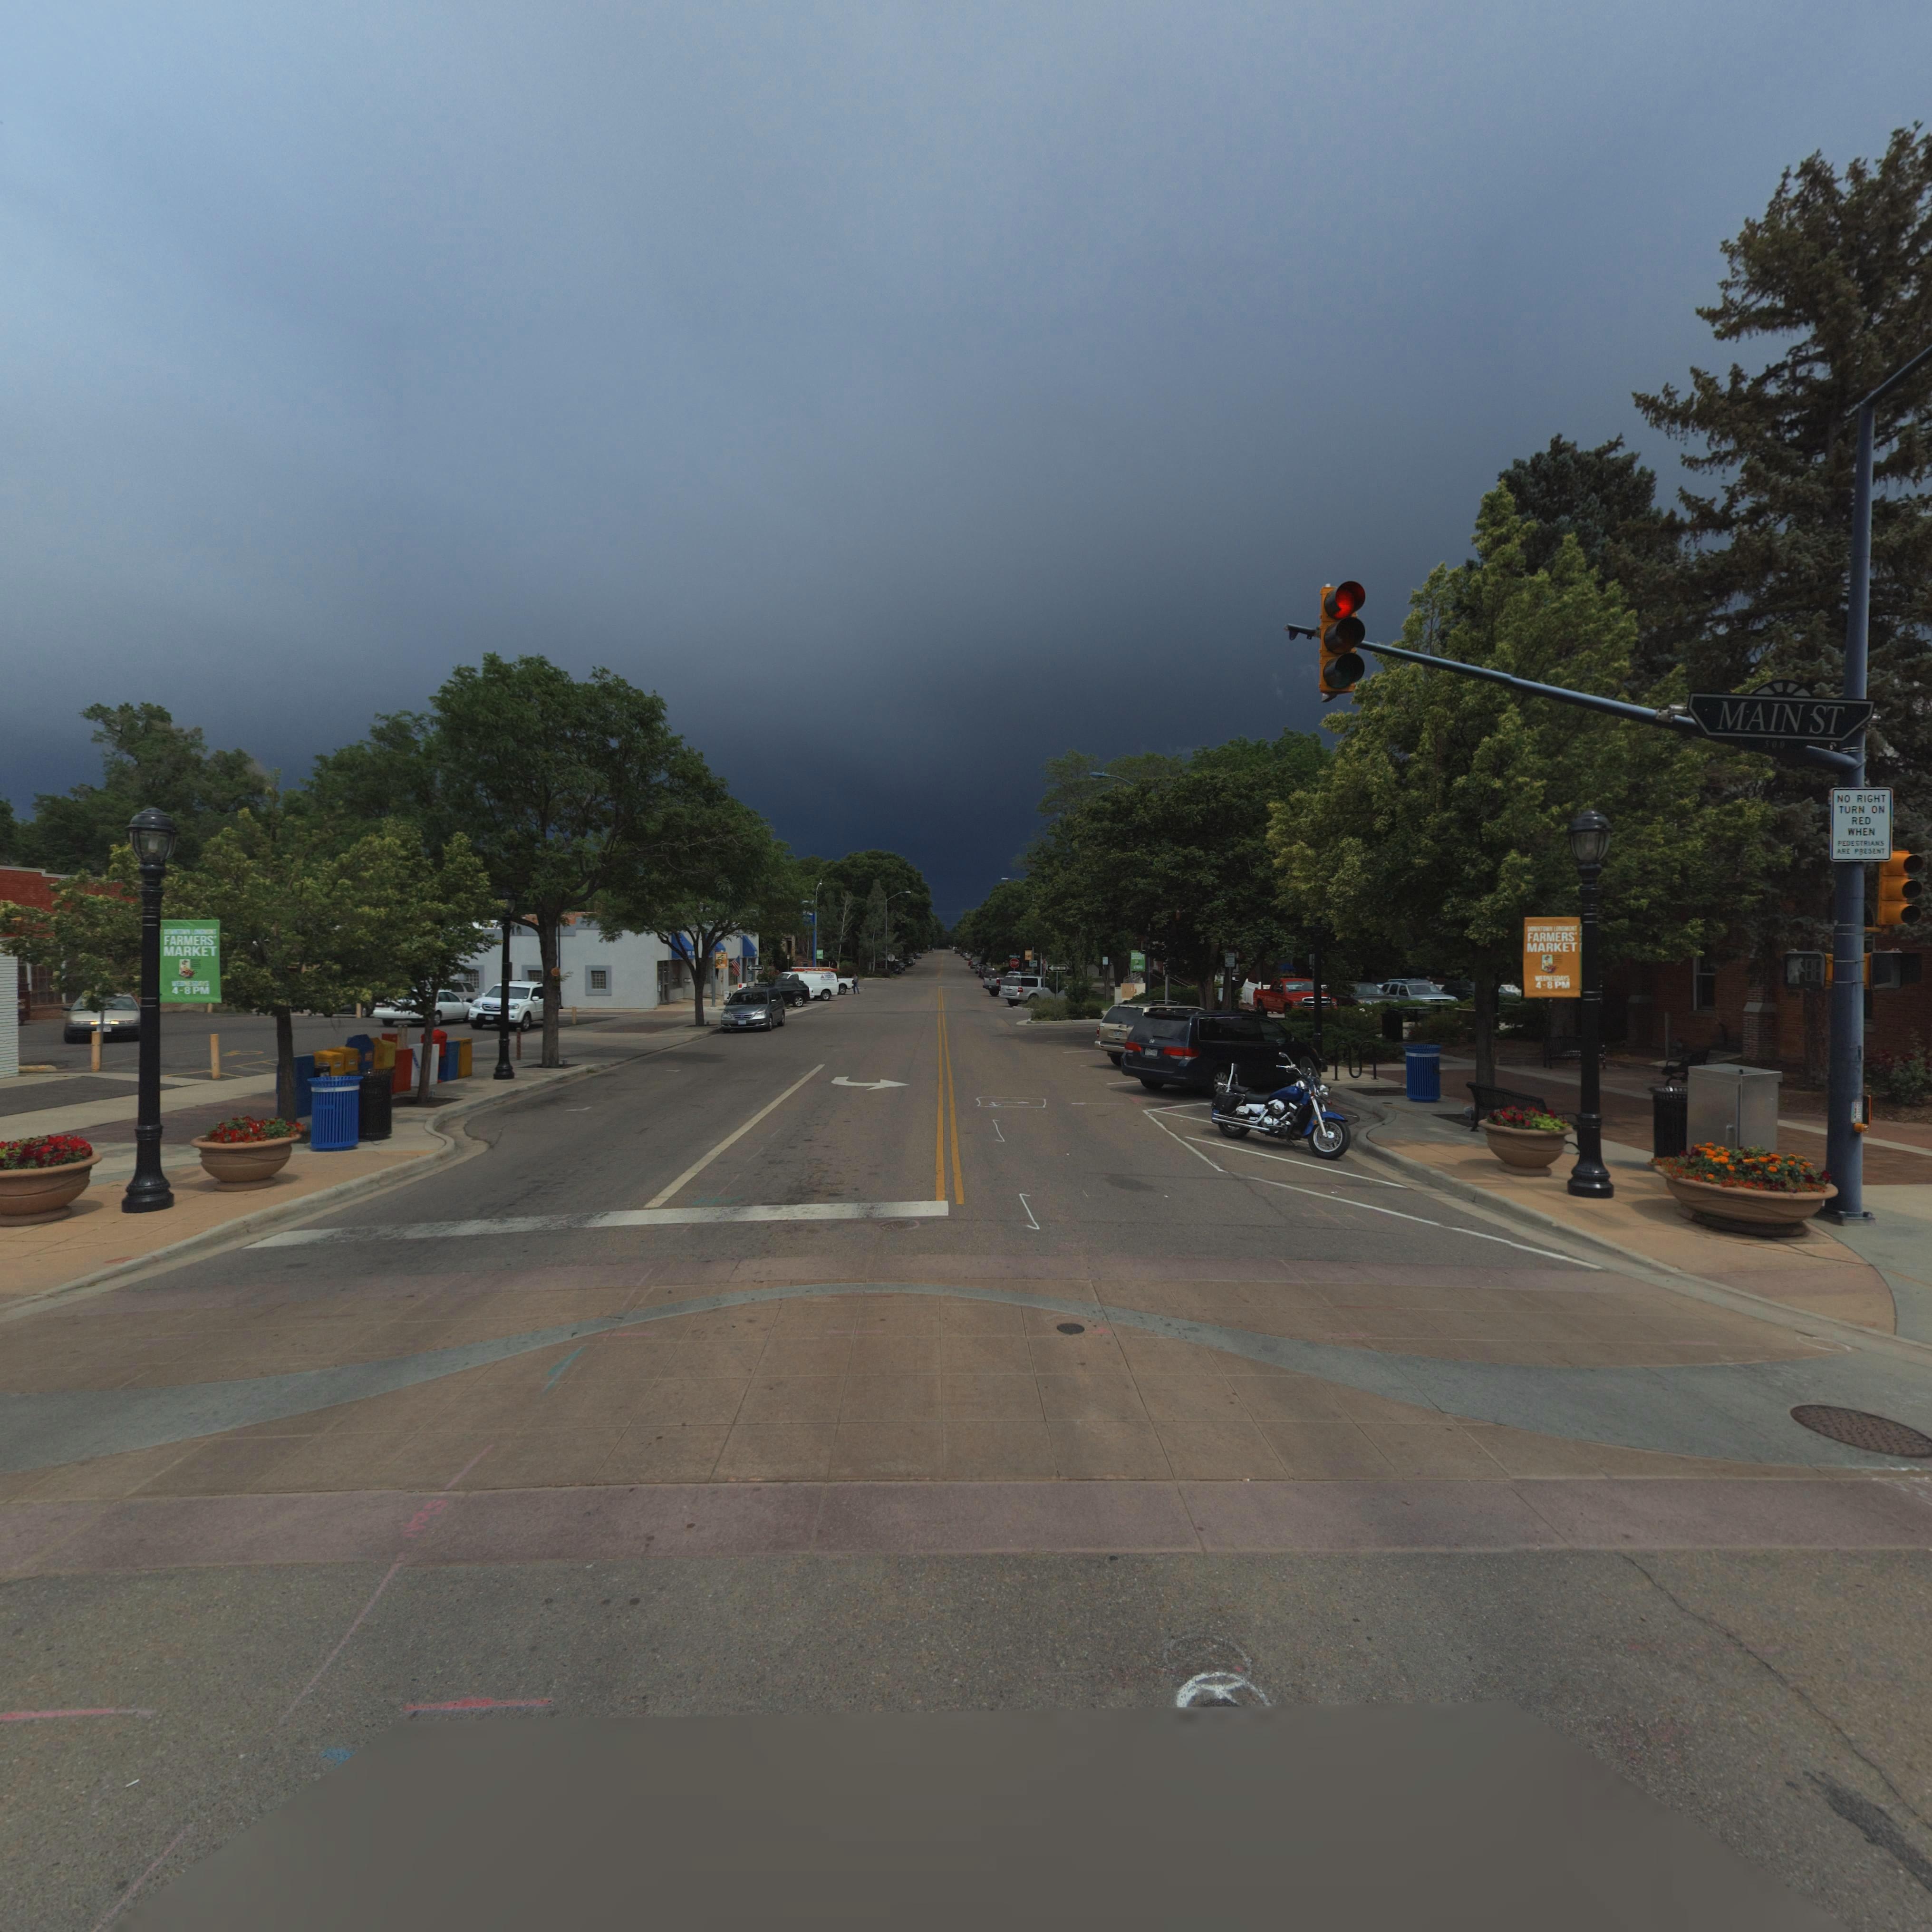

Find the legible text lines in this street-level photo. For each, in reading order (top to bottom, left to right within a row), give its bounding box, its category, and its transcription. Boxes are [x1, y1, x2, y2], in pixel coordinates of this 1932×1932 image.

[1716, 700, 1845, 735] StreetName: MAIN ST
[1763, 739, 1786, 749] StreetNumberRange: 500